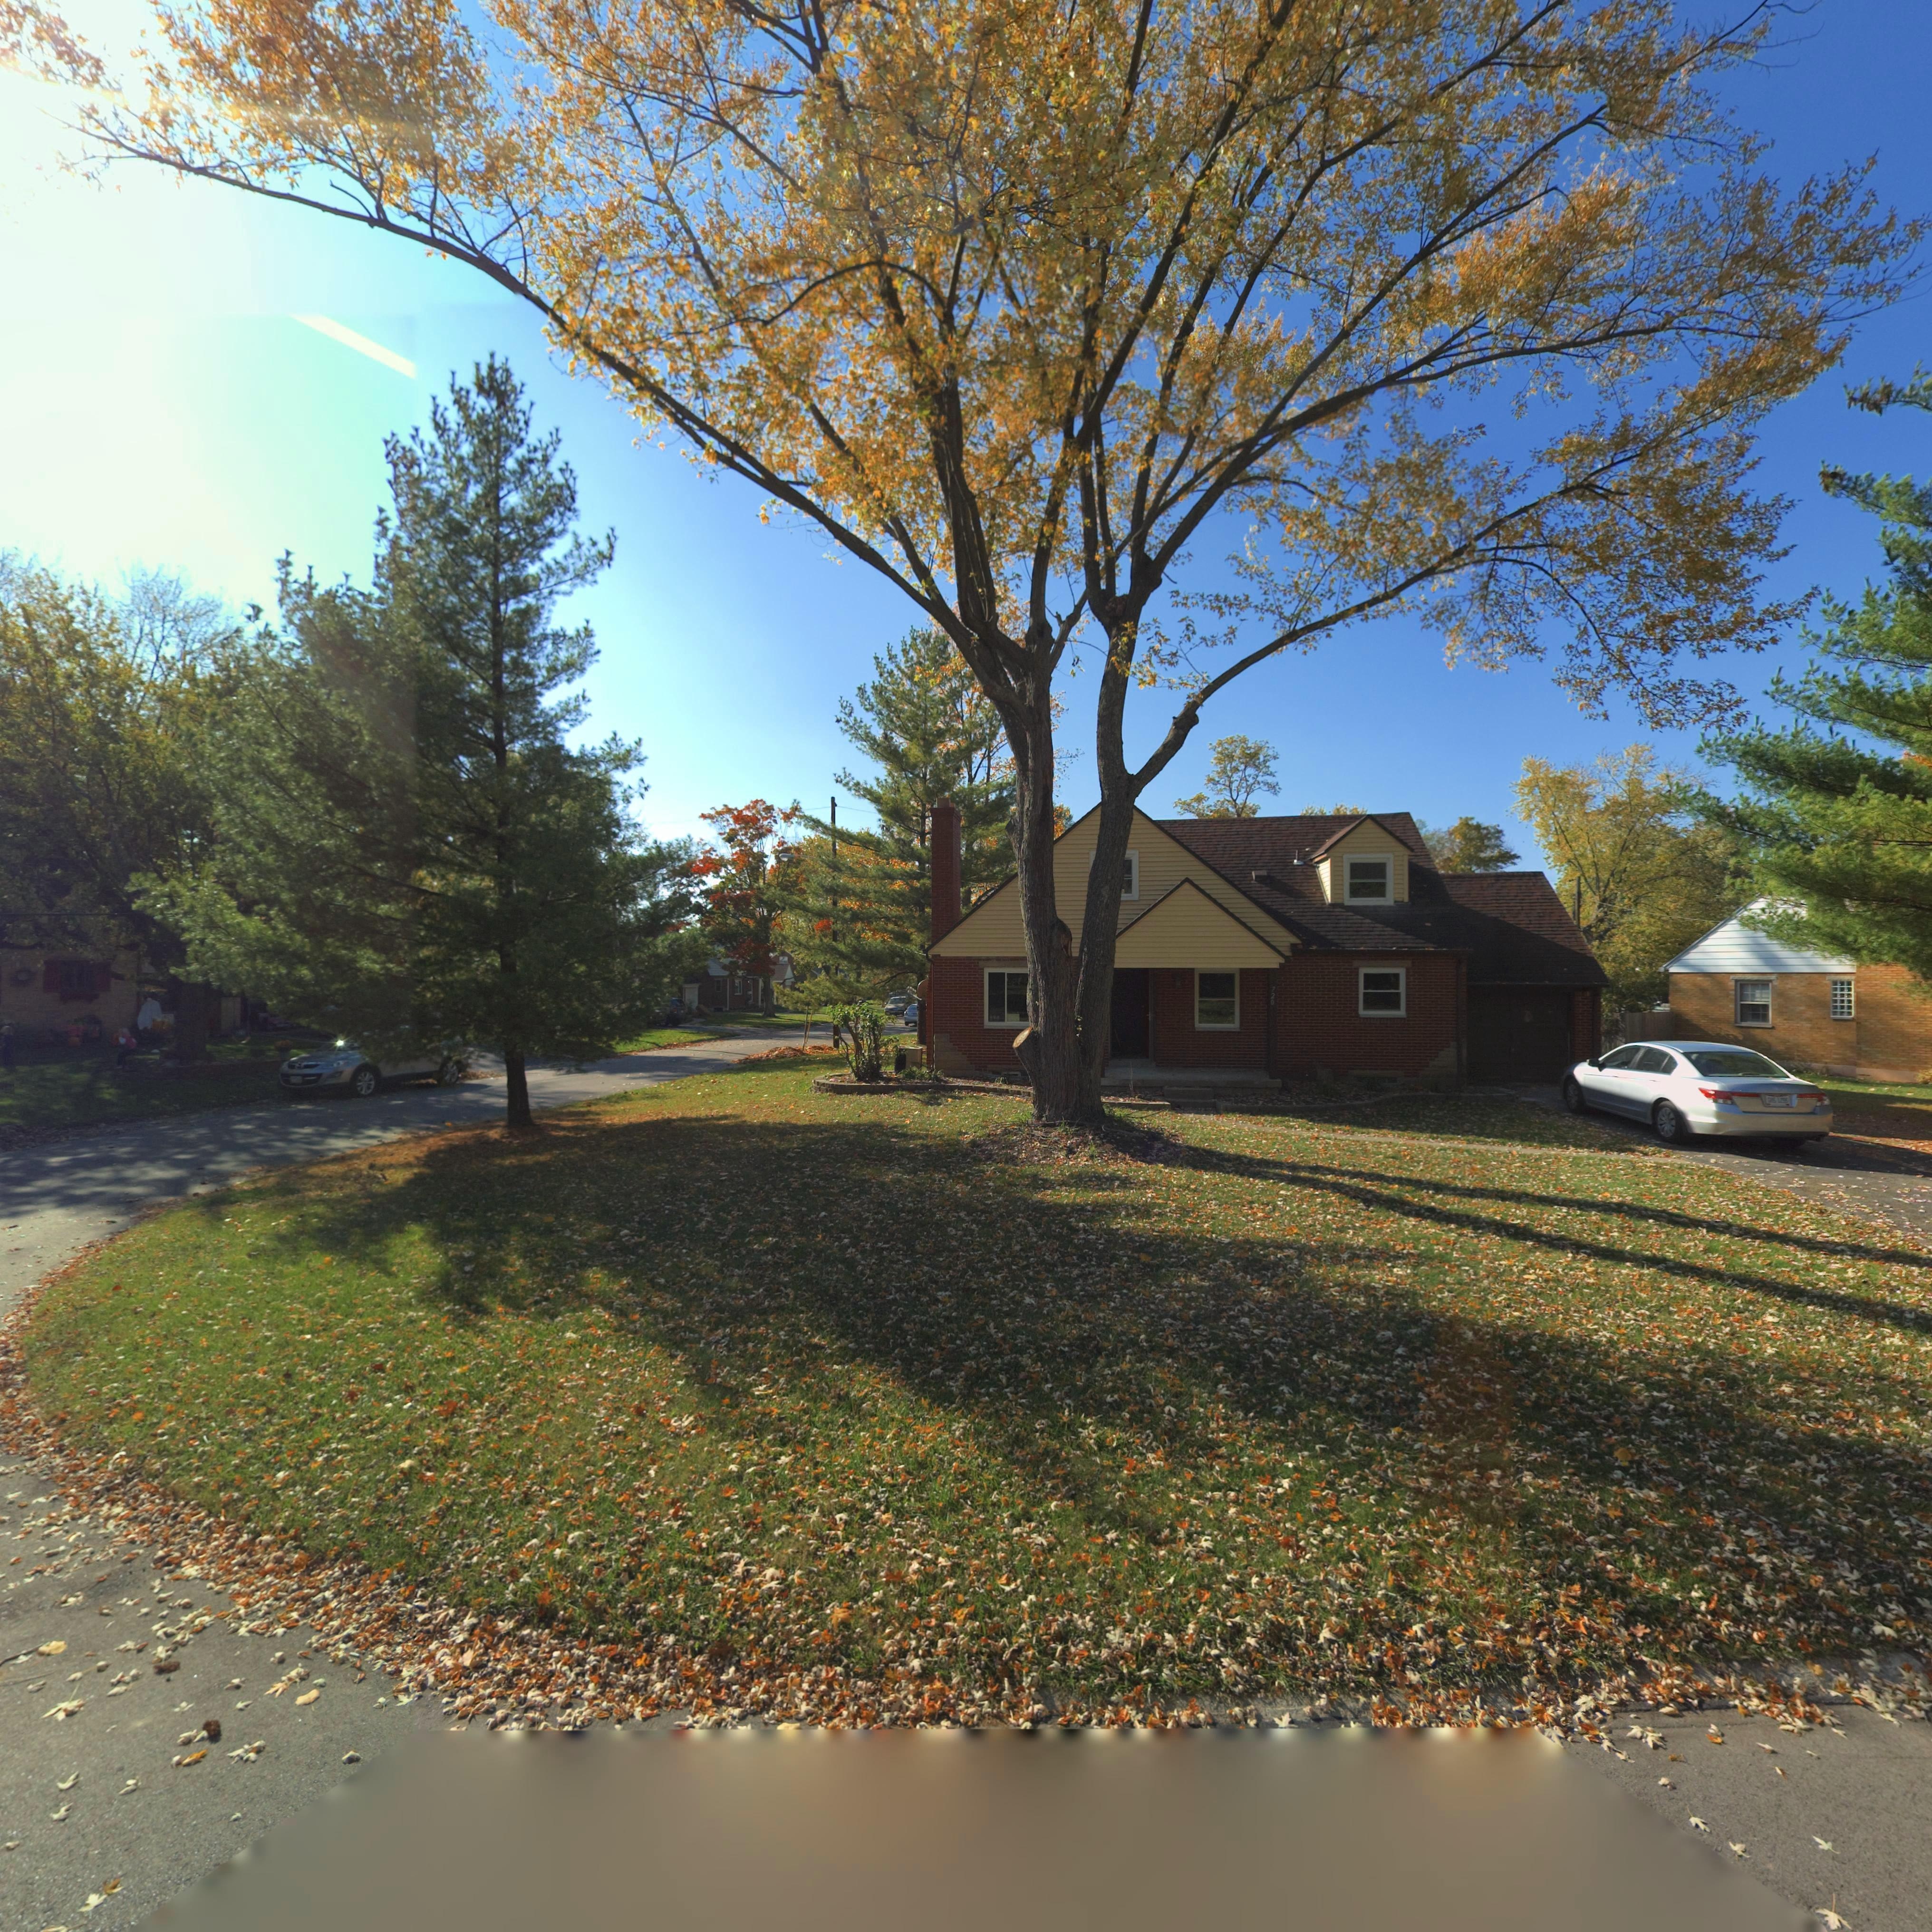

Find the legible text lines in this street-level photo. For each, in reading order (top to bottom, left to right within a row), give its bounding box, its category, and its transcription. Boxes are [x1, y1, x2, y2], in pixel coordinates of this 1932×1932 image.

[1269, 985, 1276, 1006] StreetNumber: 720